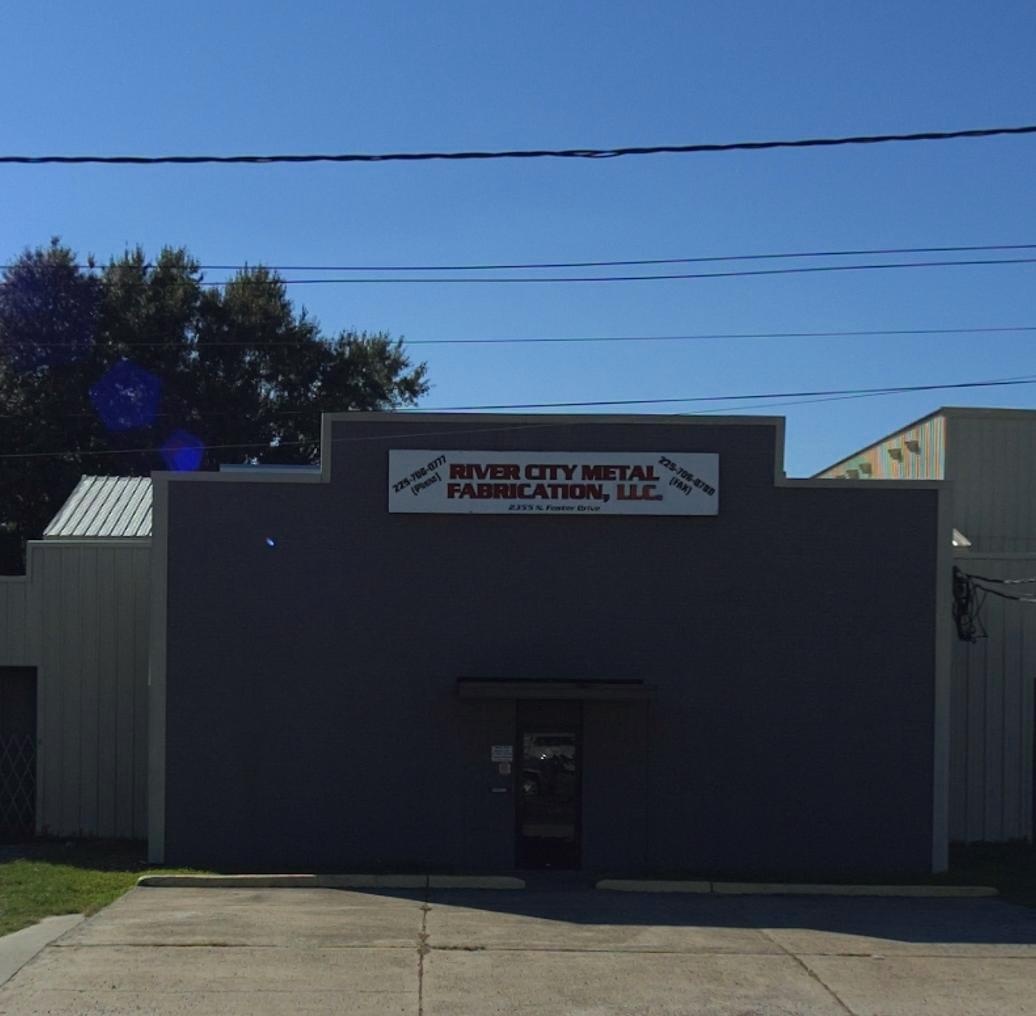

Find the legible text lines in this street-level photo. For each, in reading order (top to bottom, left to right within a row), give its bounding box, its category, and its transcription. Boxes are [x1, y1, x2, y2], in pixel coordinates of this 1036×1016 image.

[390, 452, 448, 495] None: 225-705-0777
[448, 463, 660, 482] BusinessName: RIVER CITY METAL
[656, 453, 718, 498] None: 225-706-6700
[446, 481, 658, 500] BusinessName: FABRICATION, LLC
[670, 476, 692, 495] None: FAX
[507, 503, 536, 512] StreetNumber: 2355
[545, 504, 601, 512] StreetName: Foster Drive